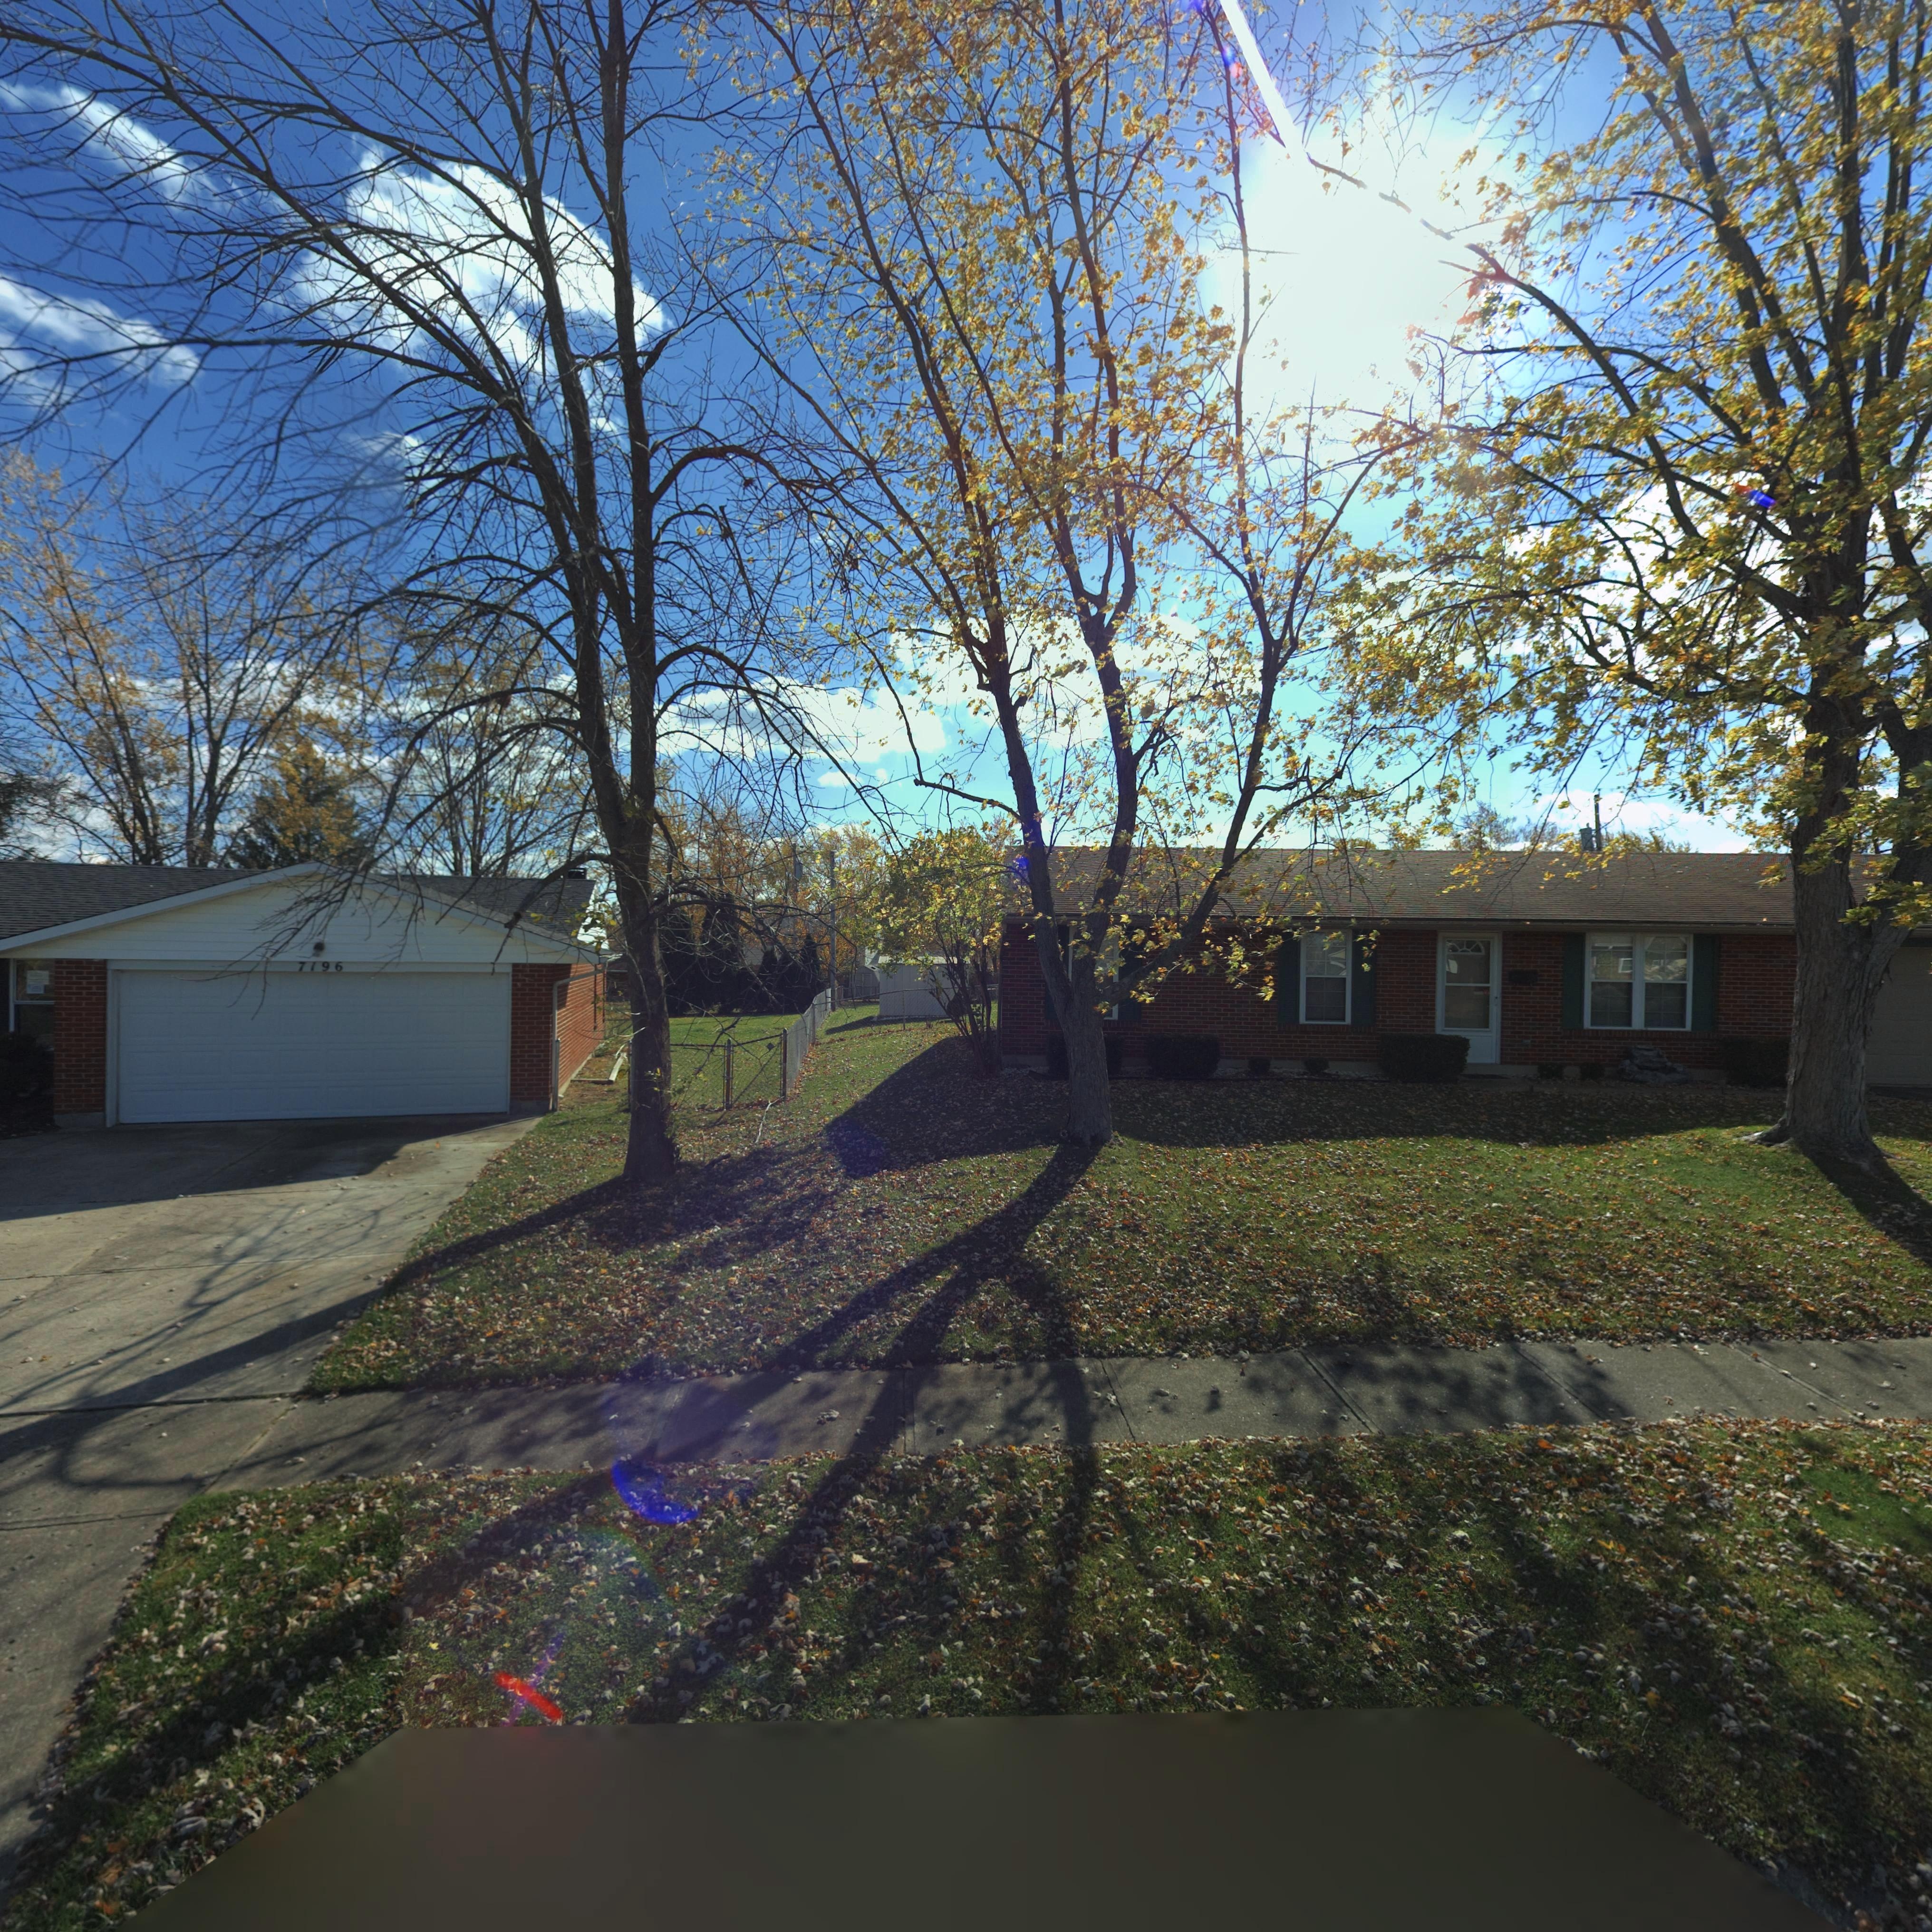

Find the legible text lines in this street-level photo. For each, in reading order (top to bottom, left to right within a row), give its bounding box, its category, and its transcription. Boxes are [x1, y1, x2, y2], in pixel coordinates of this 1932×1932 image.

[297, 960, 345, 973] StreetNumber: 7196